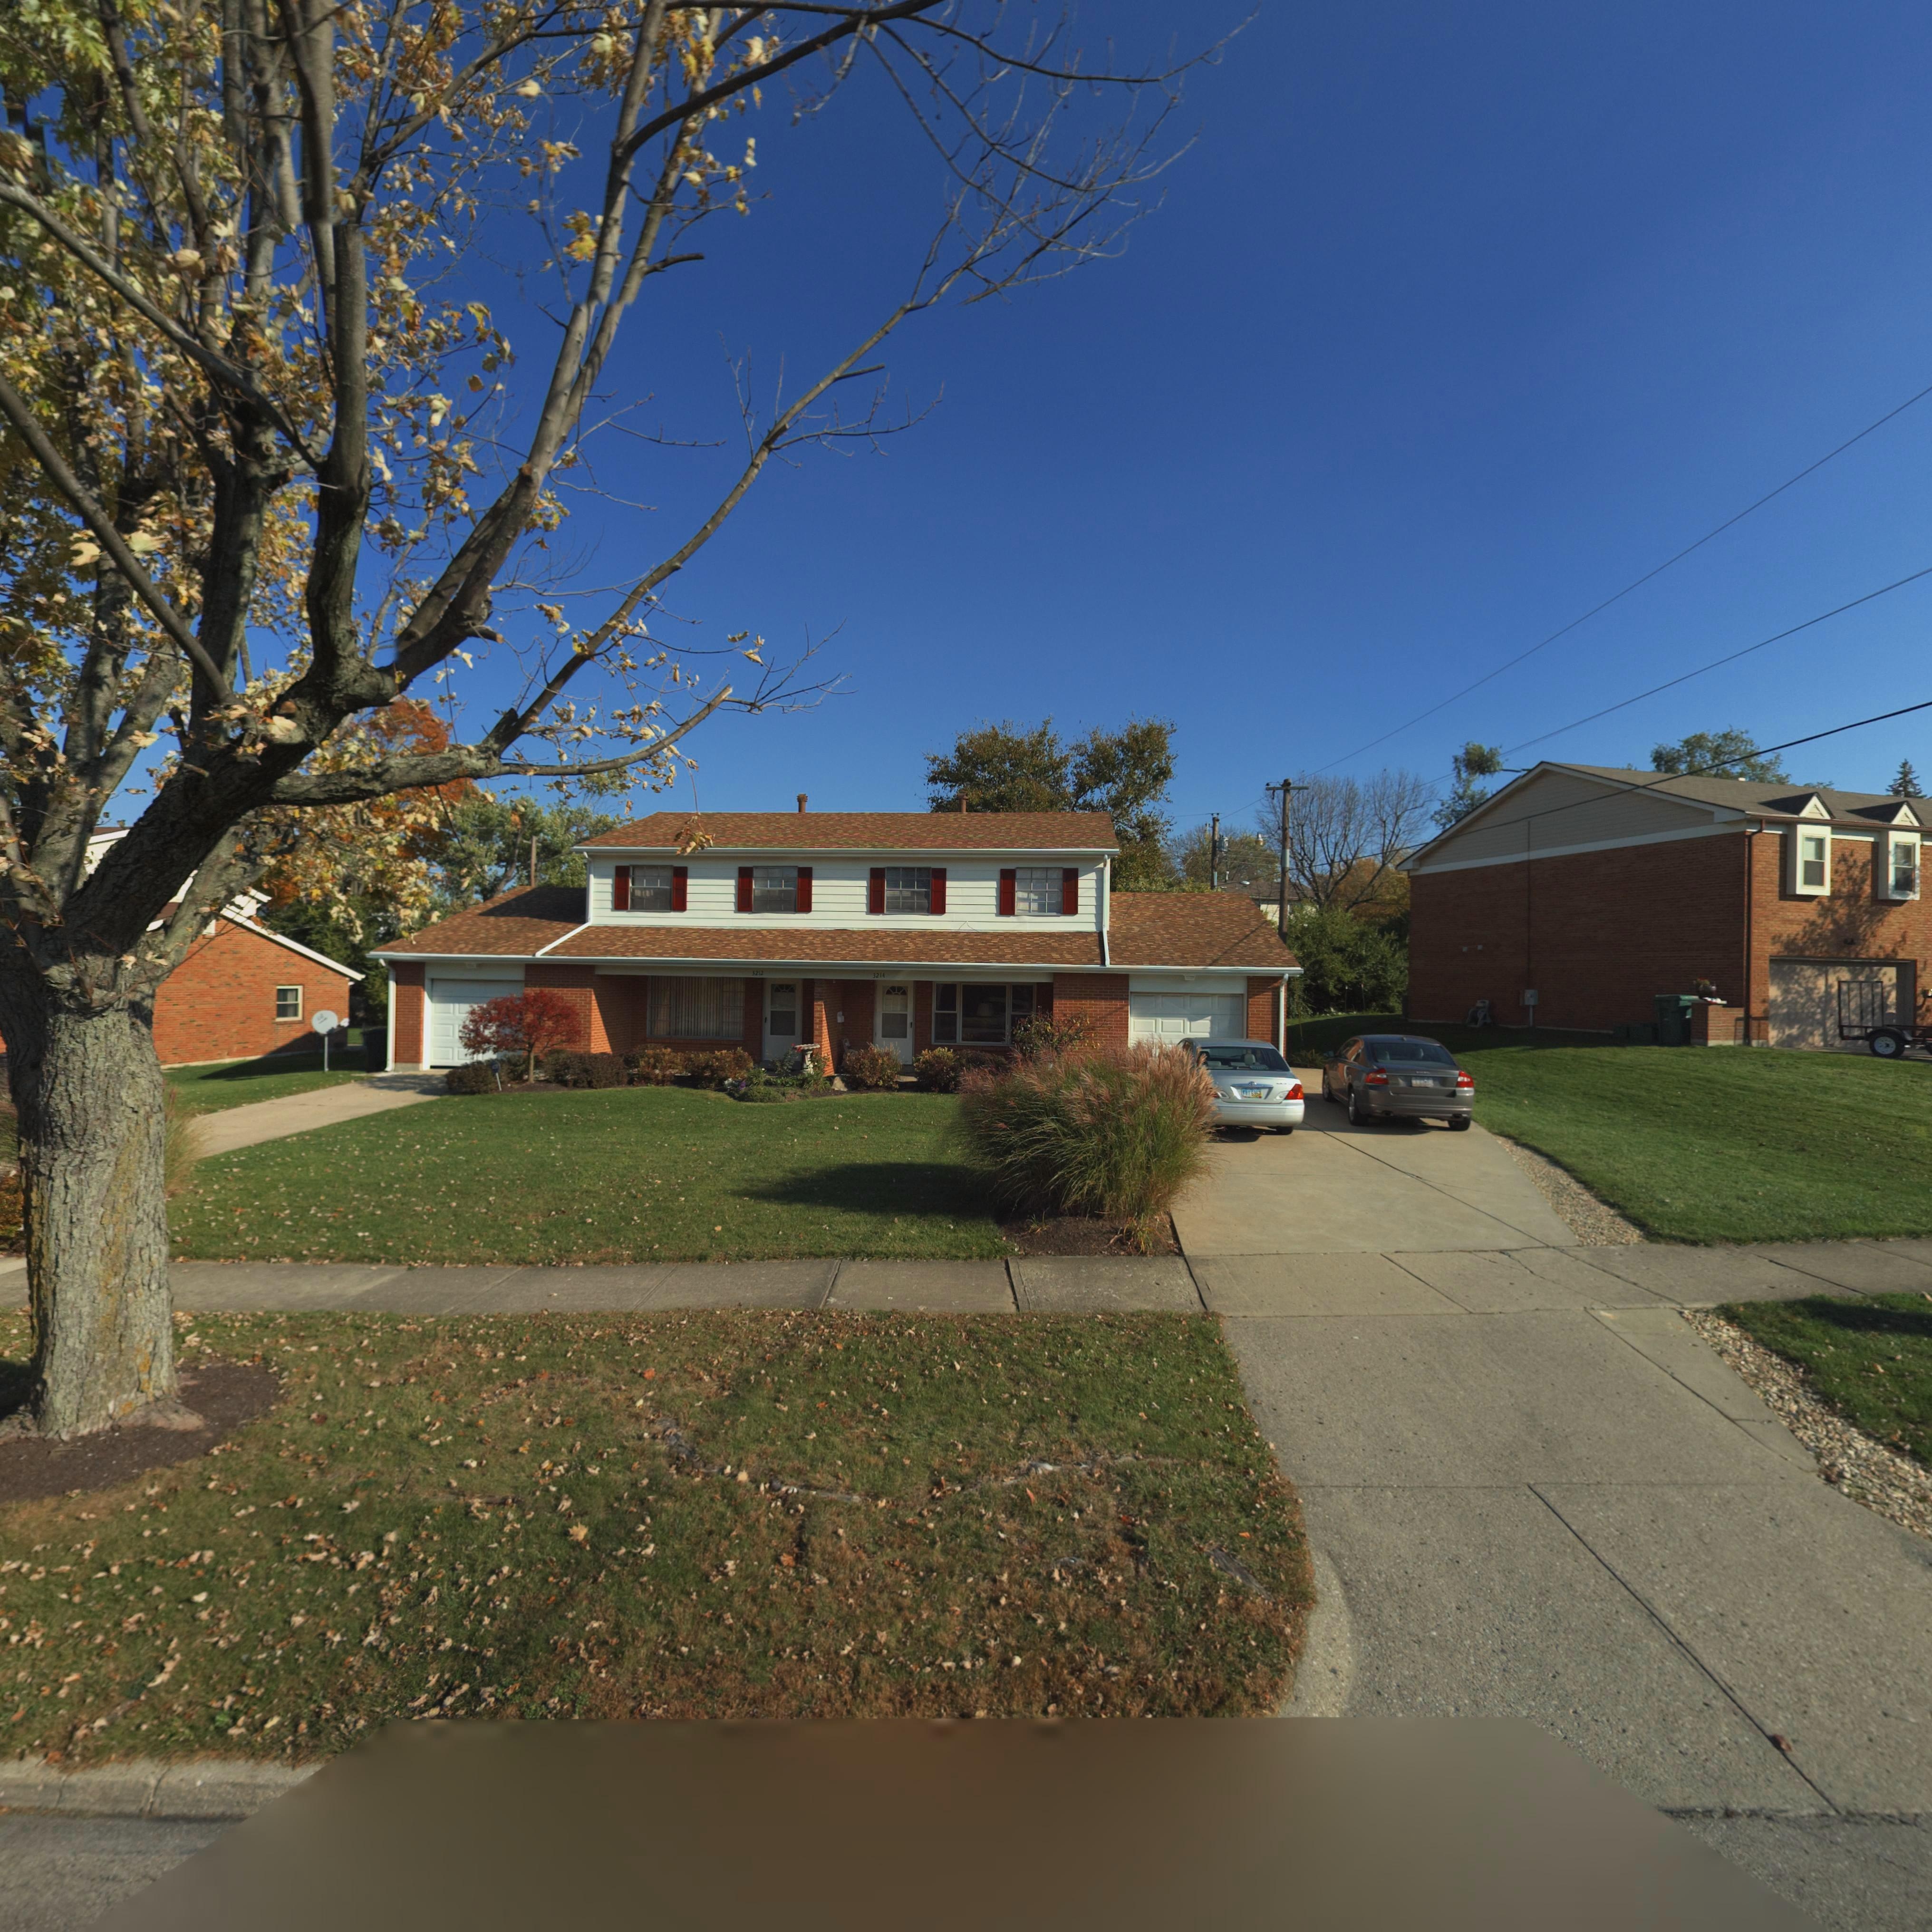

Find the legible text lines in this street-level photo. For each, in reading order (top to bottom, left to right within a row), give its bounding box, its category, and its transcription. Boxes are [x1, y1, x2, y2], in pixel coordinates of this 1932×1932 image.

[751, 969, 763, 976] StreetNumber: 3212
[872, 972, 885, 978] StreetNumber: 3214